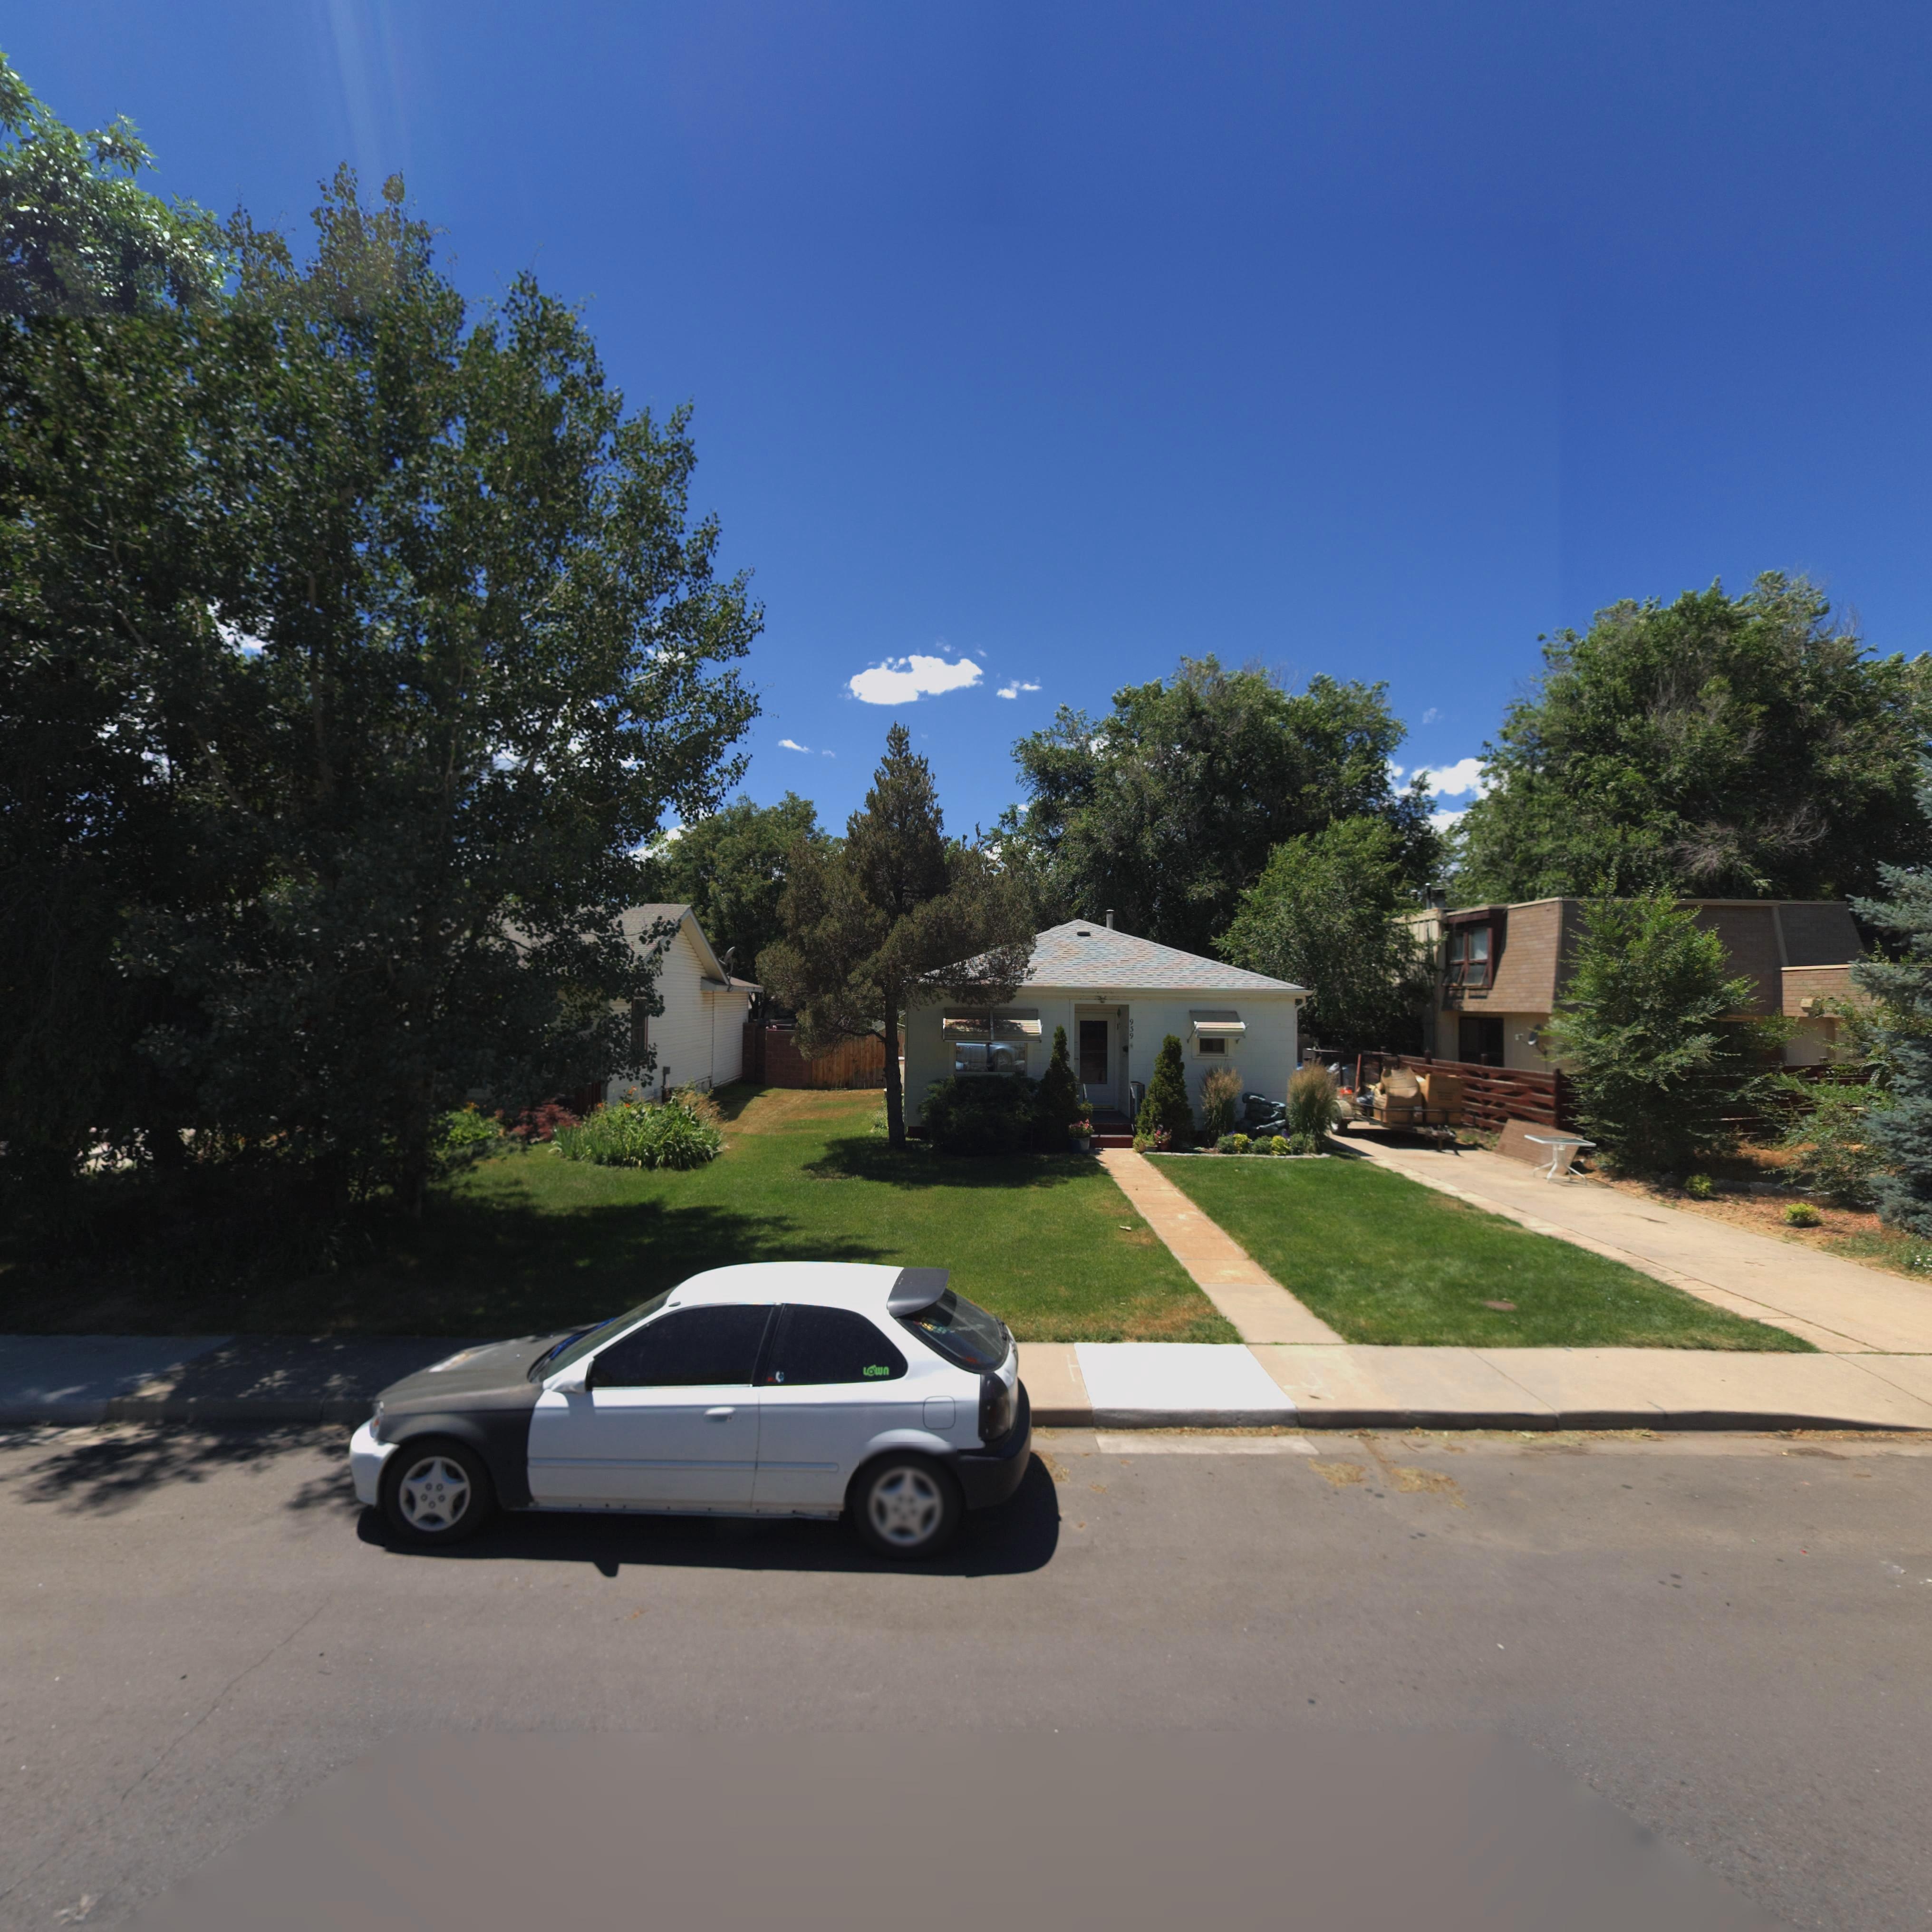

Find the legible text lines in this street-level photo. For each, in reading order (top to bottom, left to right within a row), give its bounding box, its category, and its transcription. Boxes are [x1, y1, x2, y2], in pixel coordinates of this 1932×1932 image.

[1129, 1018, 1134, 1039] StreetNumber: 939